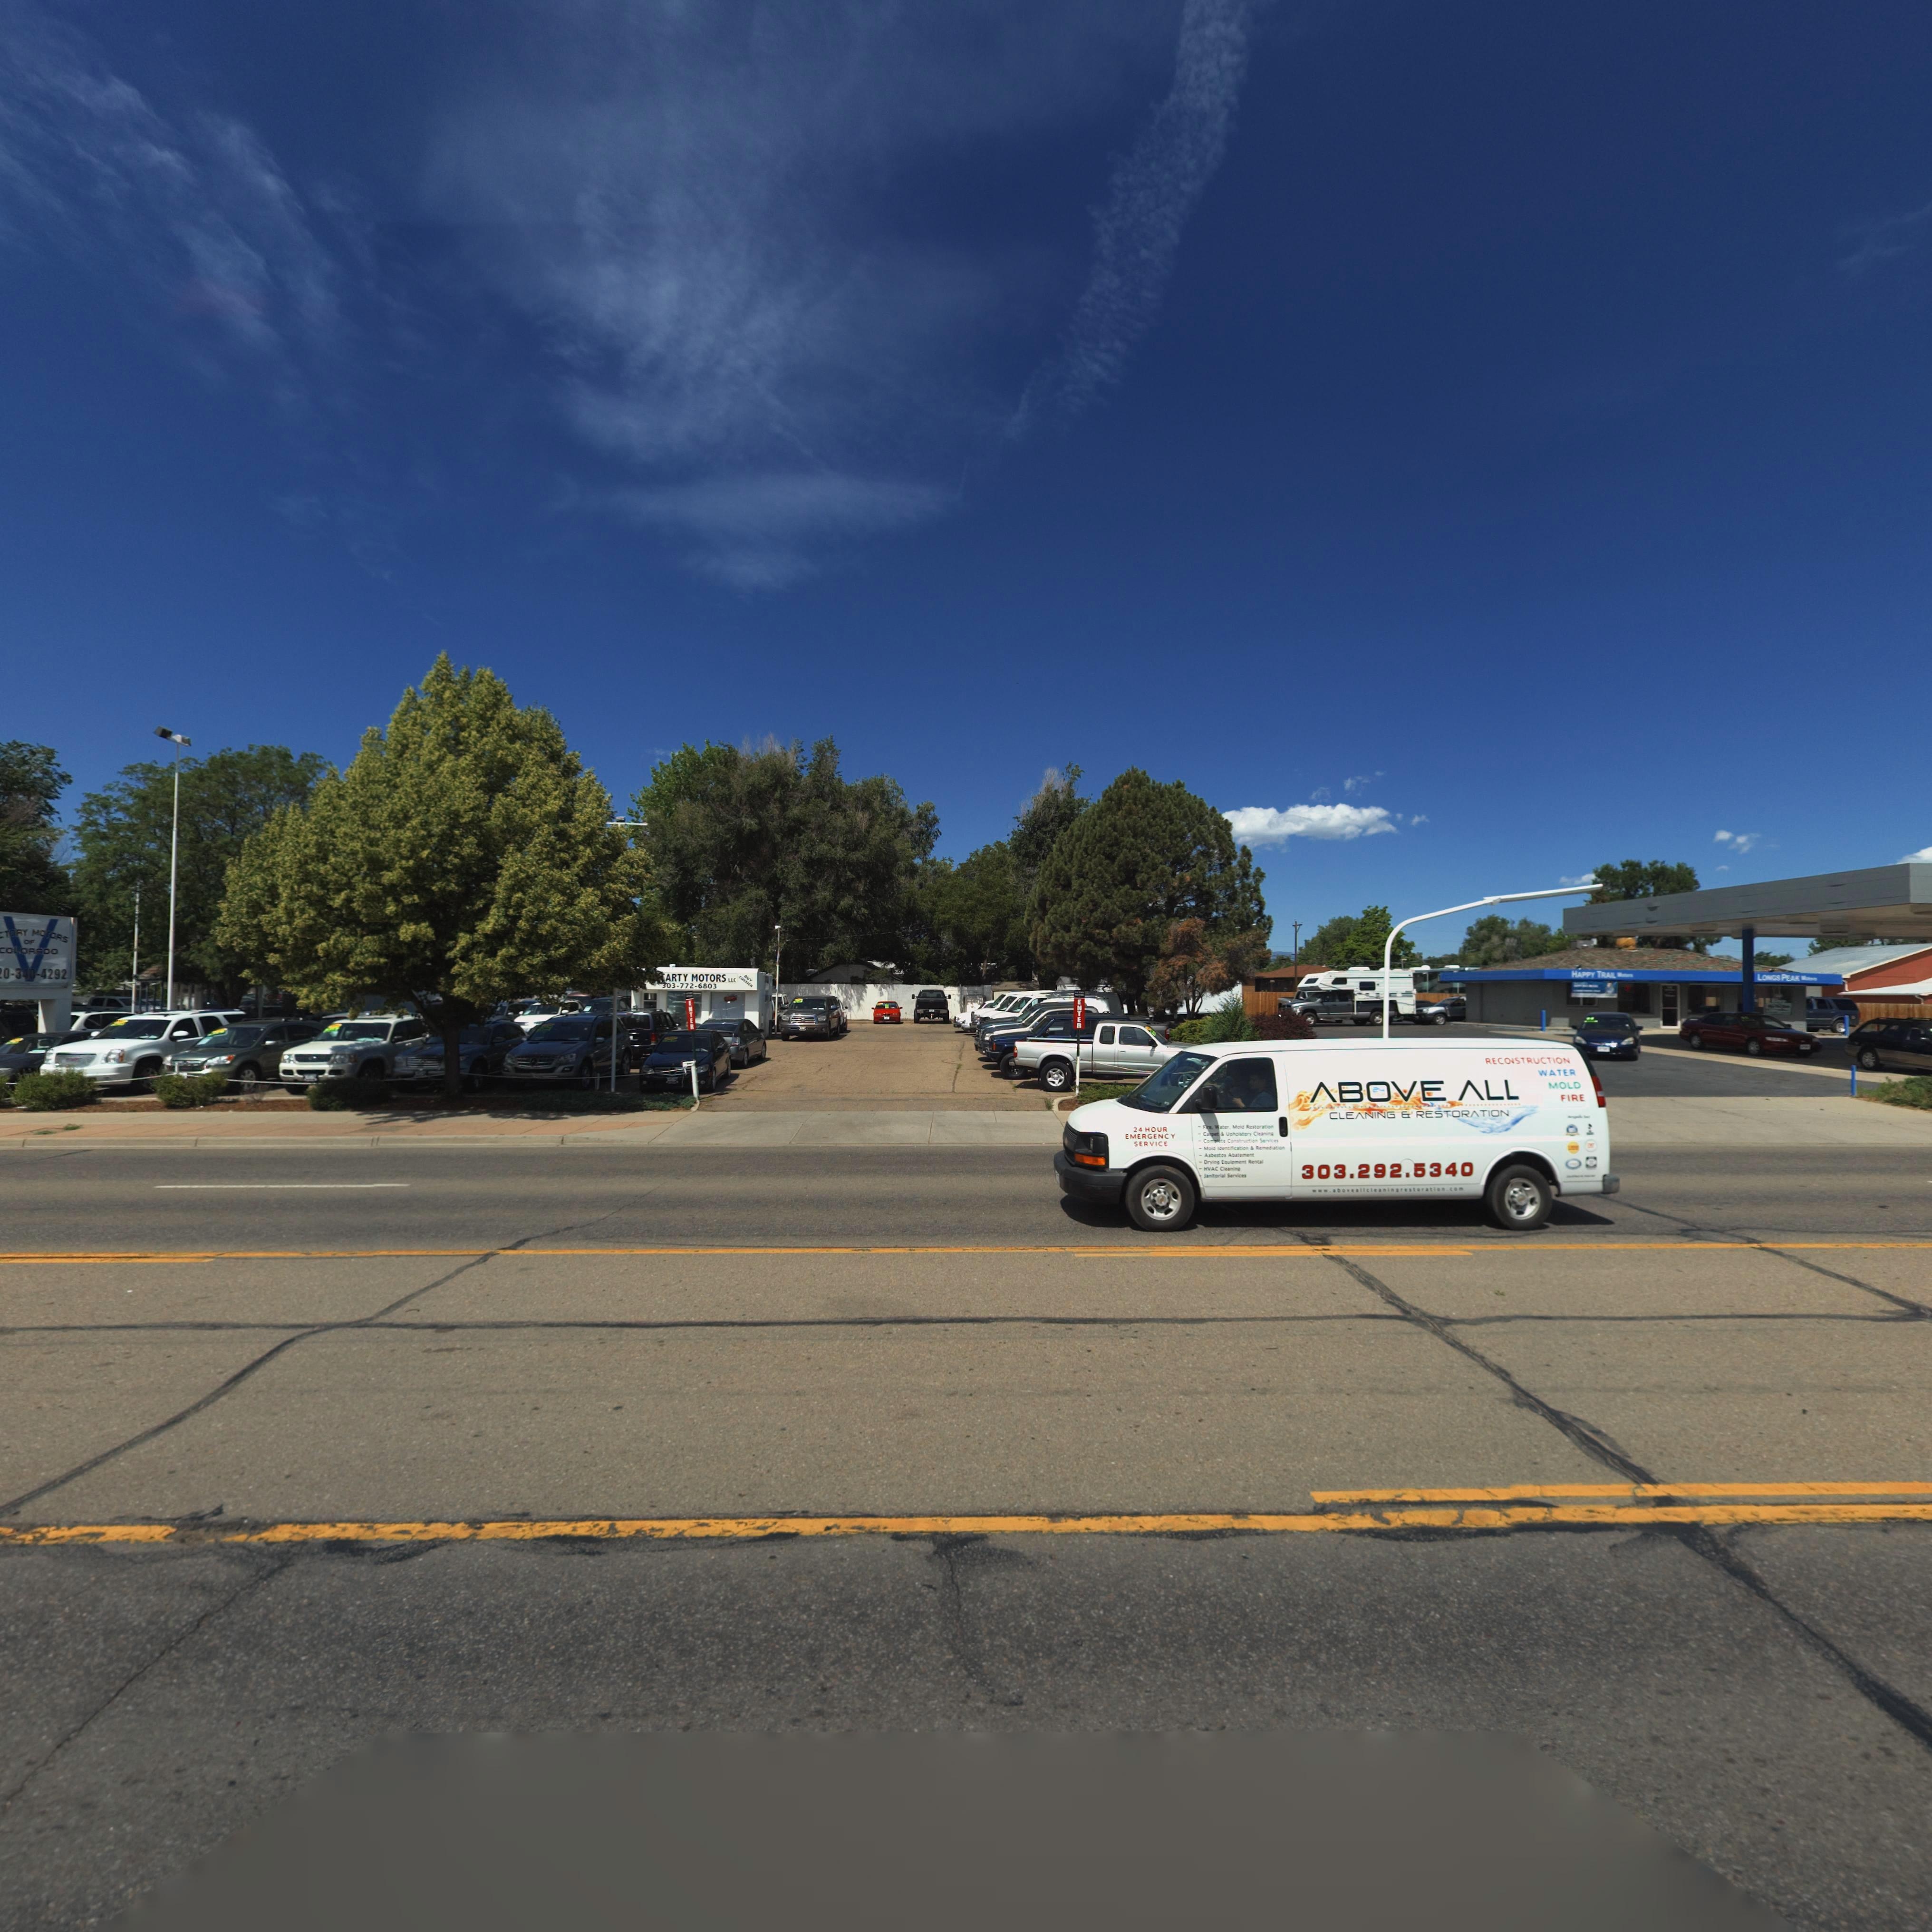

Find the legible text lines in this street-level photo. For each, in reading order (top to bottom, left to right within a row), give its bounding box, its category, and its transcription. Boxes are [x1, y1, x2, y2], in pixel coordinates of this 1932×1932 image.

[4, 928, 69, 944] BusinessName: TORY MOTORS
[23, 939, 36, 945] BusinessName: OF
[5, 947, 58, 955] BusinessName: OLORADO
[665, 973, 727, 983] BusinessName: ARTY MOTORS
[1571, 970, 1634, 979] BusinessName: HAPPY TRAIL M*****
[1756, 973, 1817, 981] BusinessName: LONGS PEAK M*****